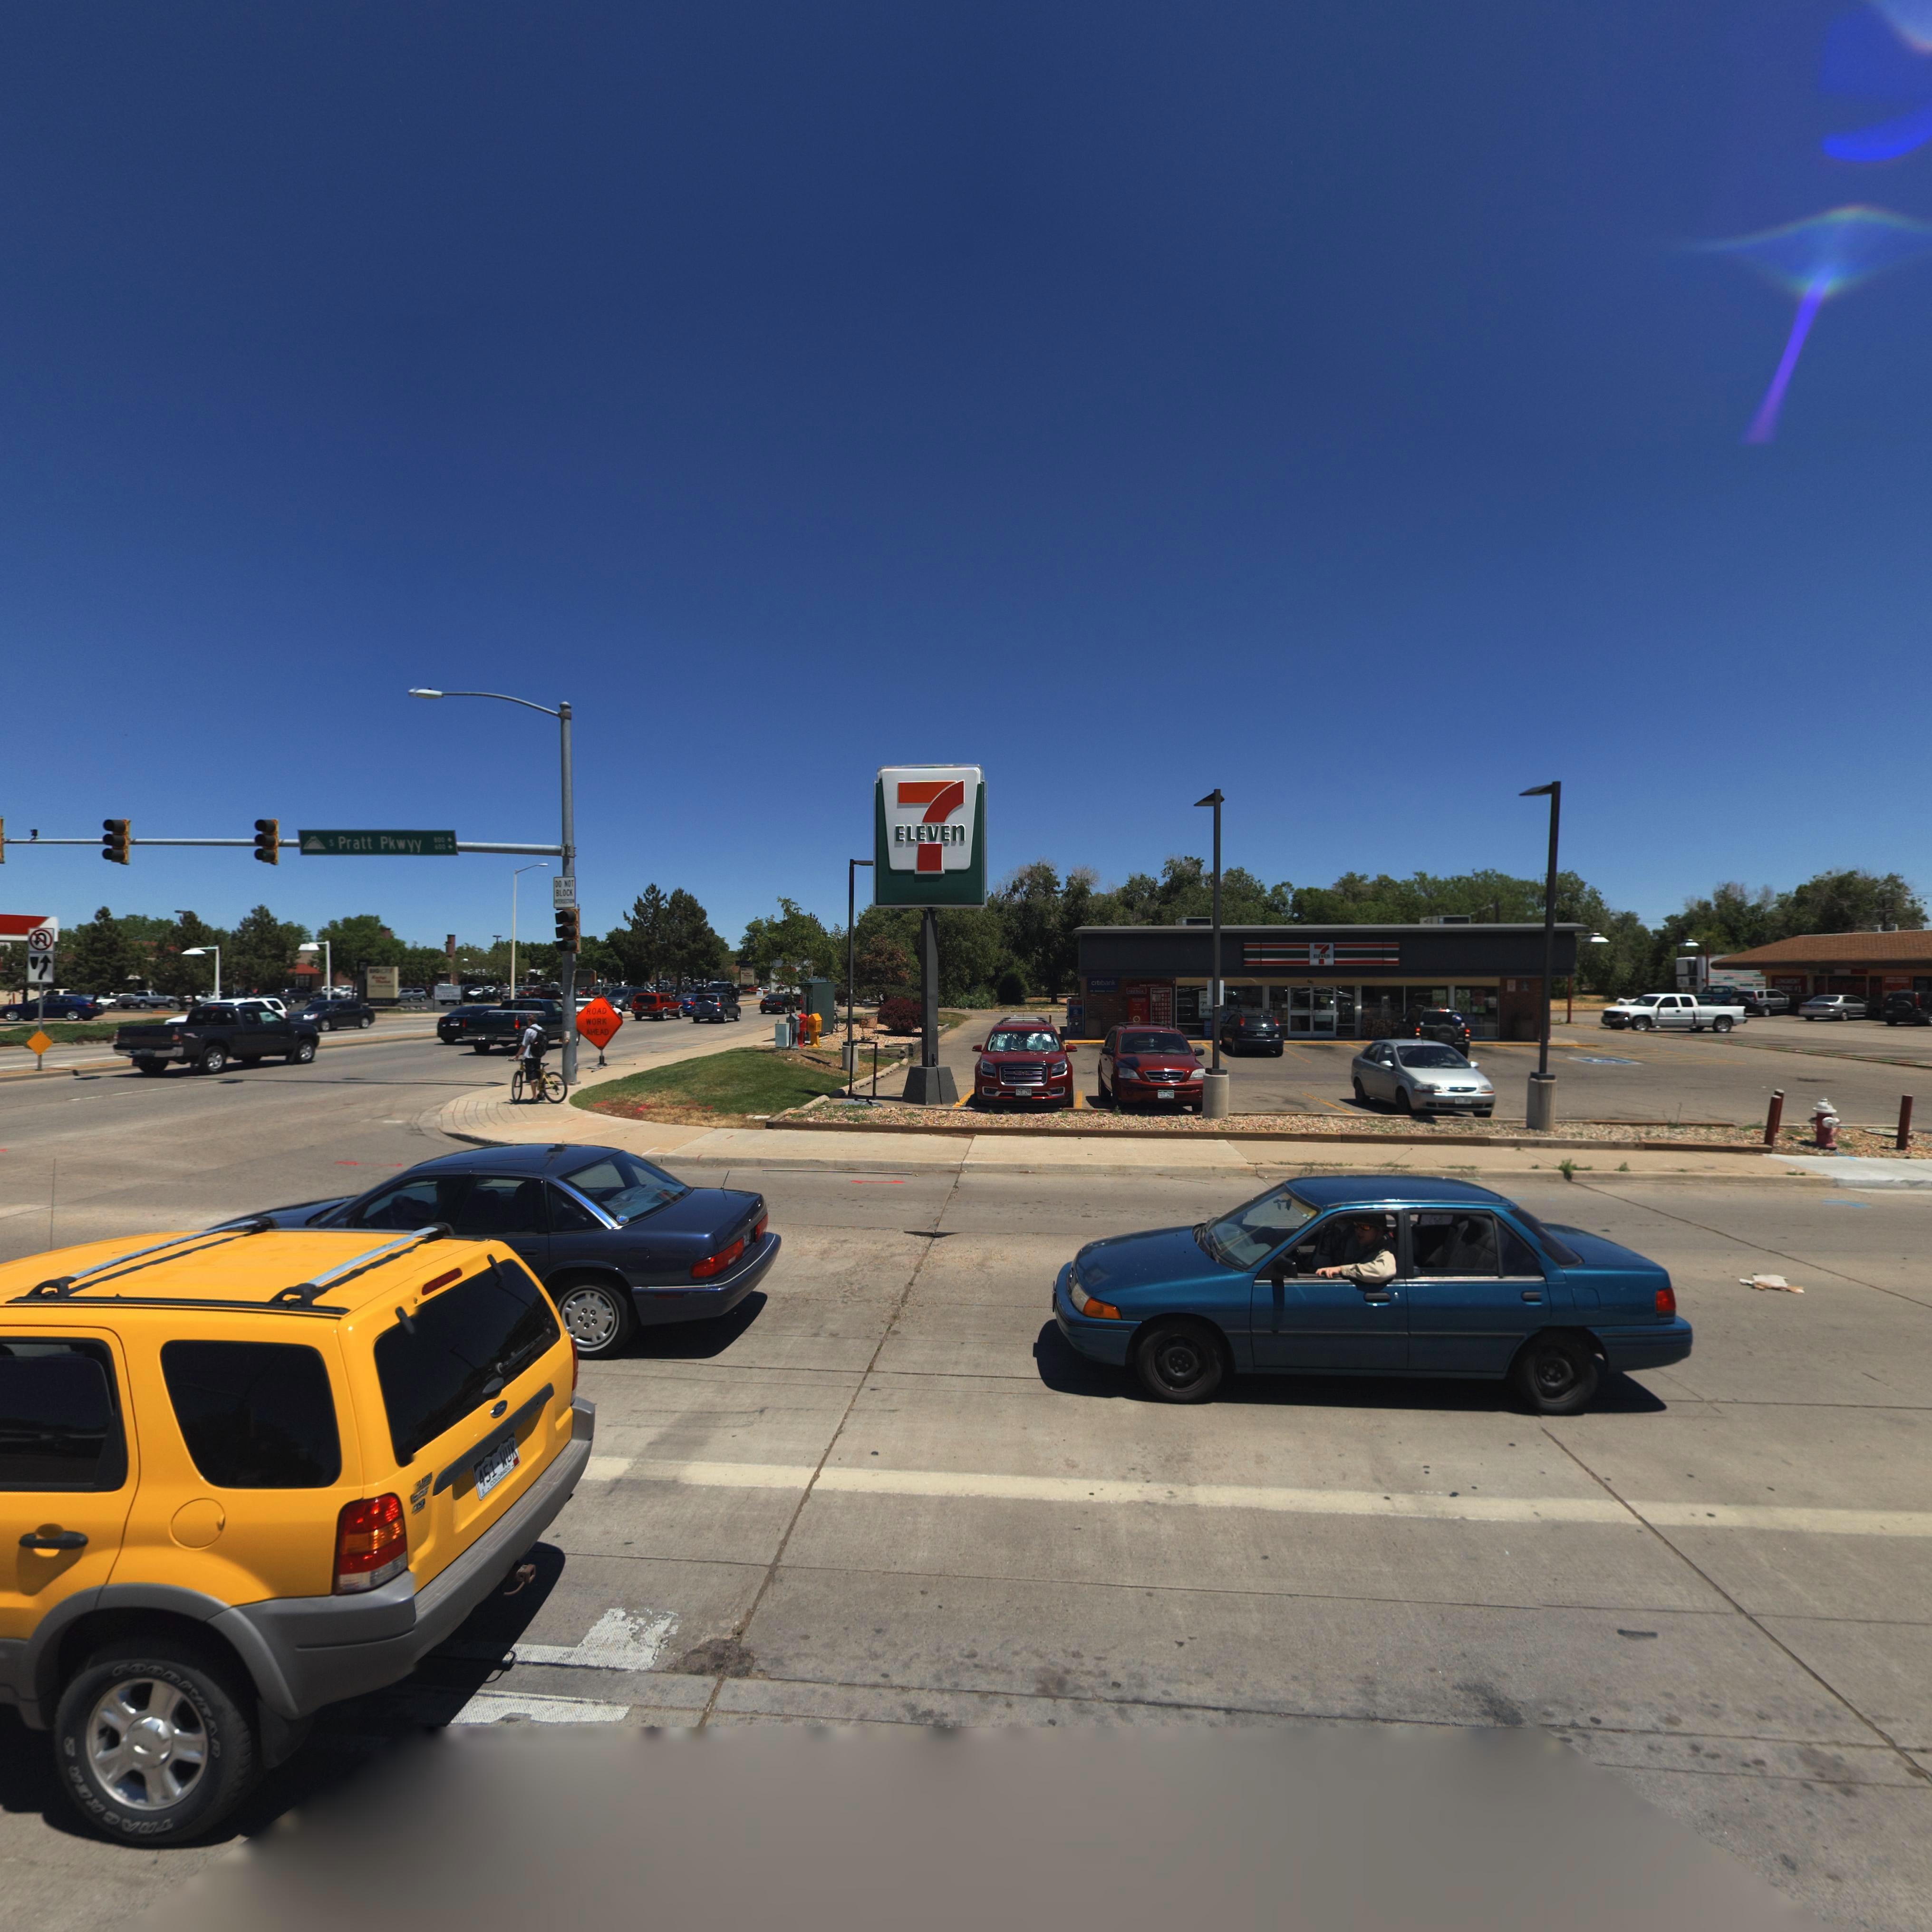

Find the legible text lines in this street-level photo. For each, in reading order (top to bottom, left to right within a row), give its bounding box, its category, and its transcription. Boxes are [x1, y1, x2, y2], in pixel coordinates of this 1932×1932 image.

[897, 778, 965, 872] BusinessName: 7
[894, 823, 966, 842] BusinessName: ELEVEN
[433, 836, 445, 843] StreetNumberRange: 800
[328, 836, 423, 852] StreetName: S Pratt Pkwy
[434, 843, 454, 850] StreetName: 600->
[1314, 944, 1329, 964] BusinessName: 7
[1314, 954, 1330, 958] BusinessName: ELEVEN
[369, 967, 394, 973] BusinessName: BIG LOTS!
[371, 975, 387, 980] BusinessName: L******
[375, 979, 391, 983] BusinessName: M*****